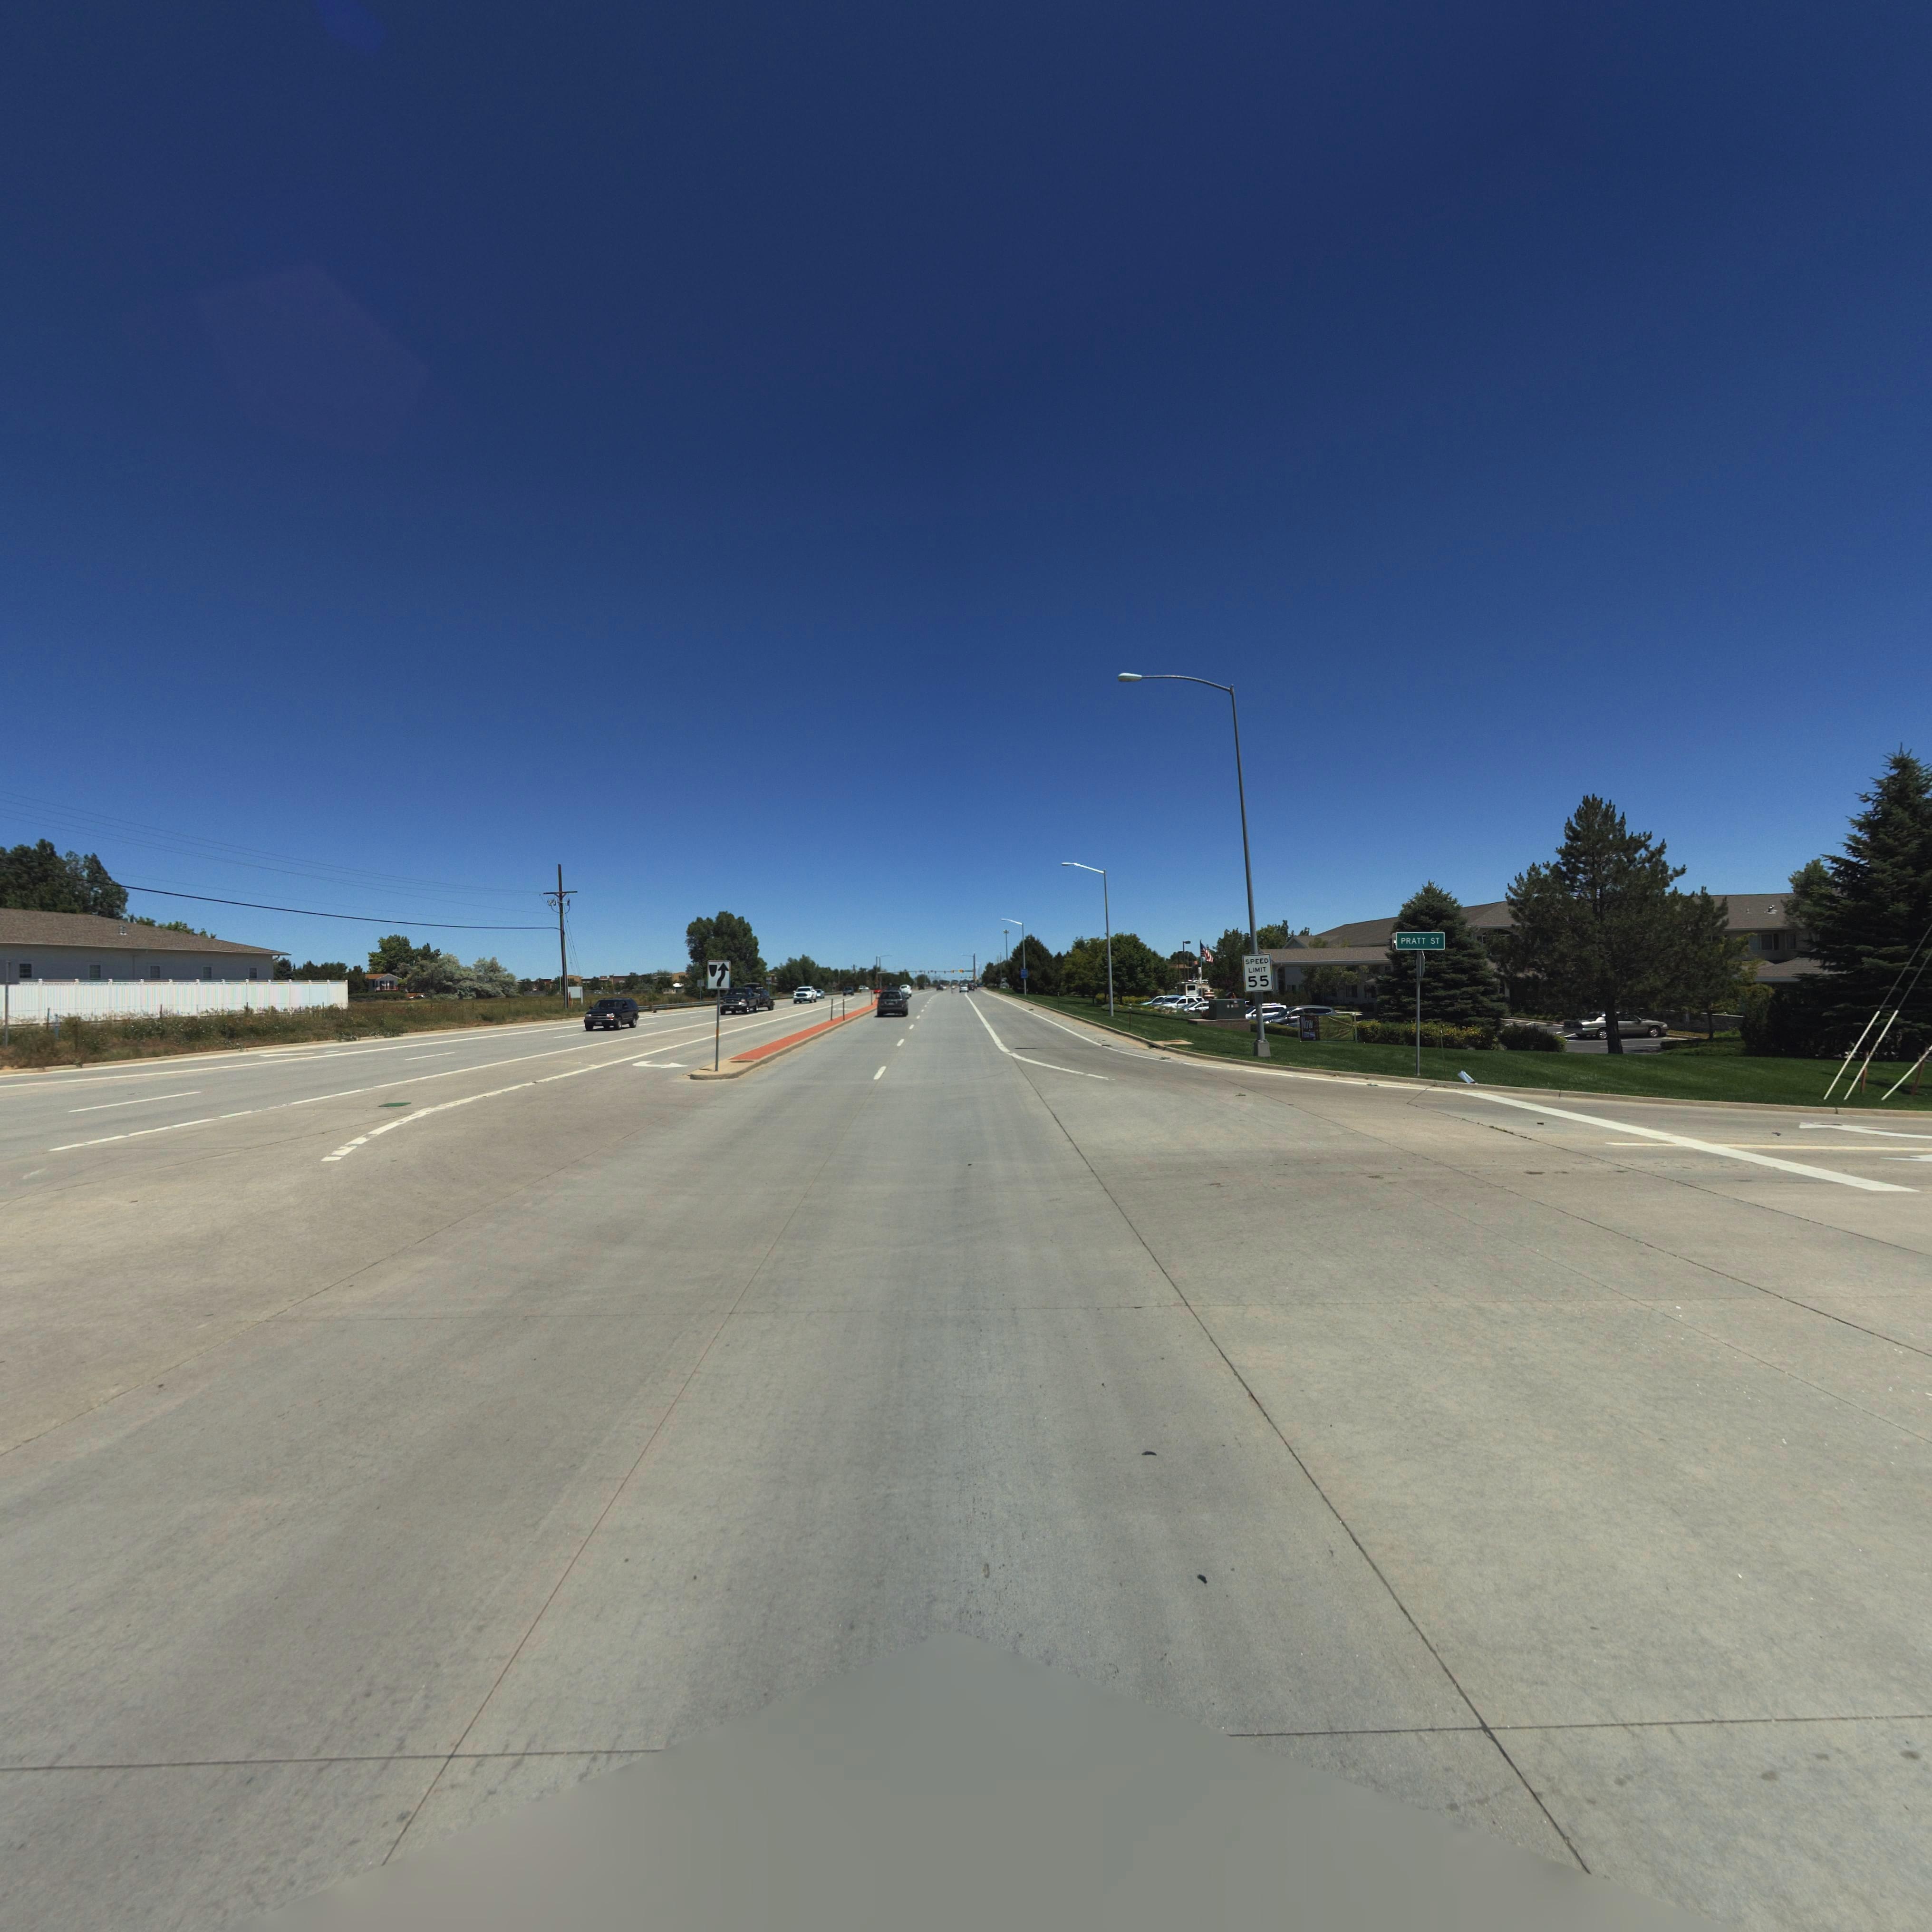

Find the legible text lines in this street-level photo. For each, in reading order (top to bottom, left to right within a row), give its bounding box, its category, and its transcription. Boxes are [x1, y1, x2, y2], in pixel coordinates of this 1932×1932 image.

[1401, 937, 1439, 944] StreetName: PRATT ST